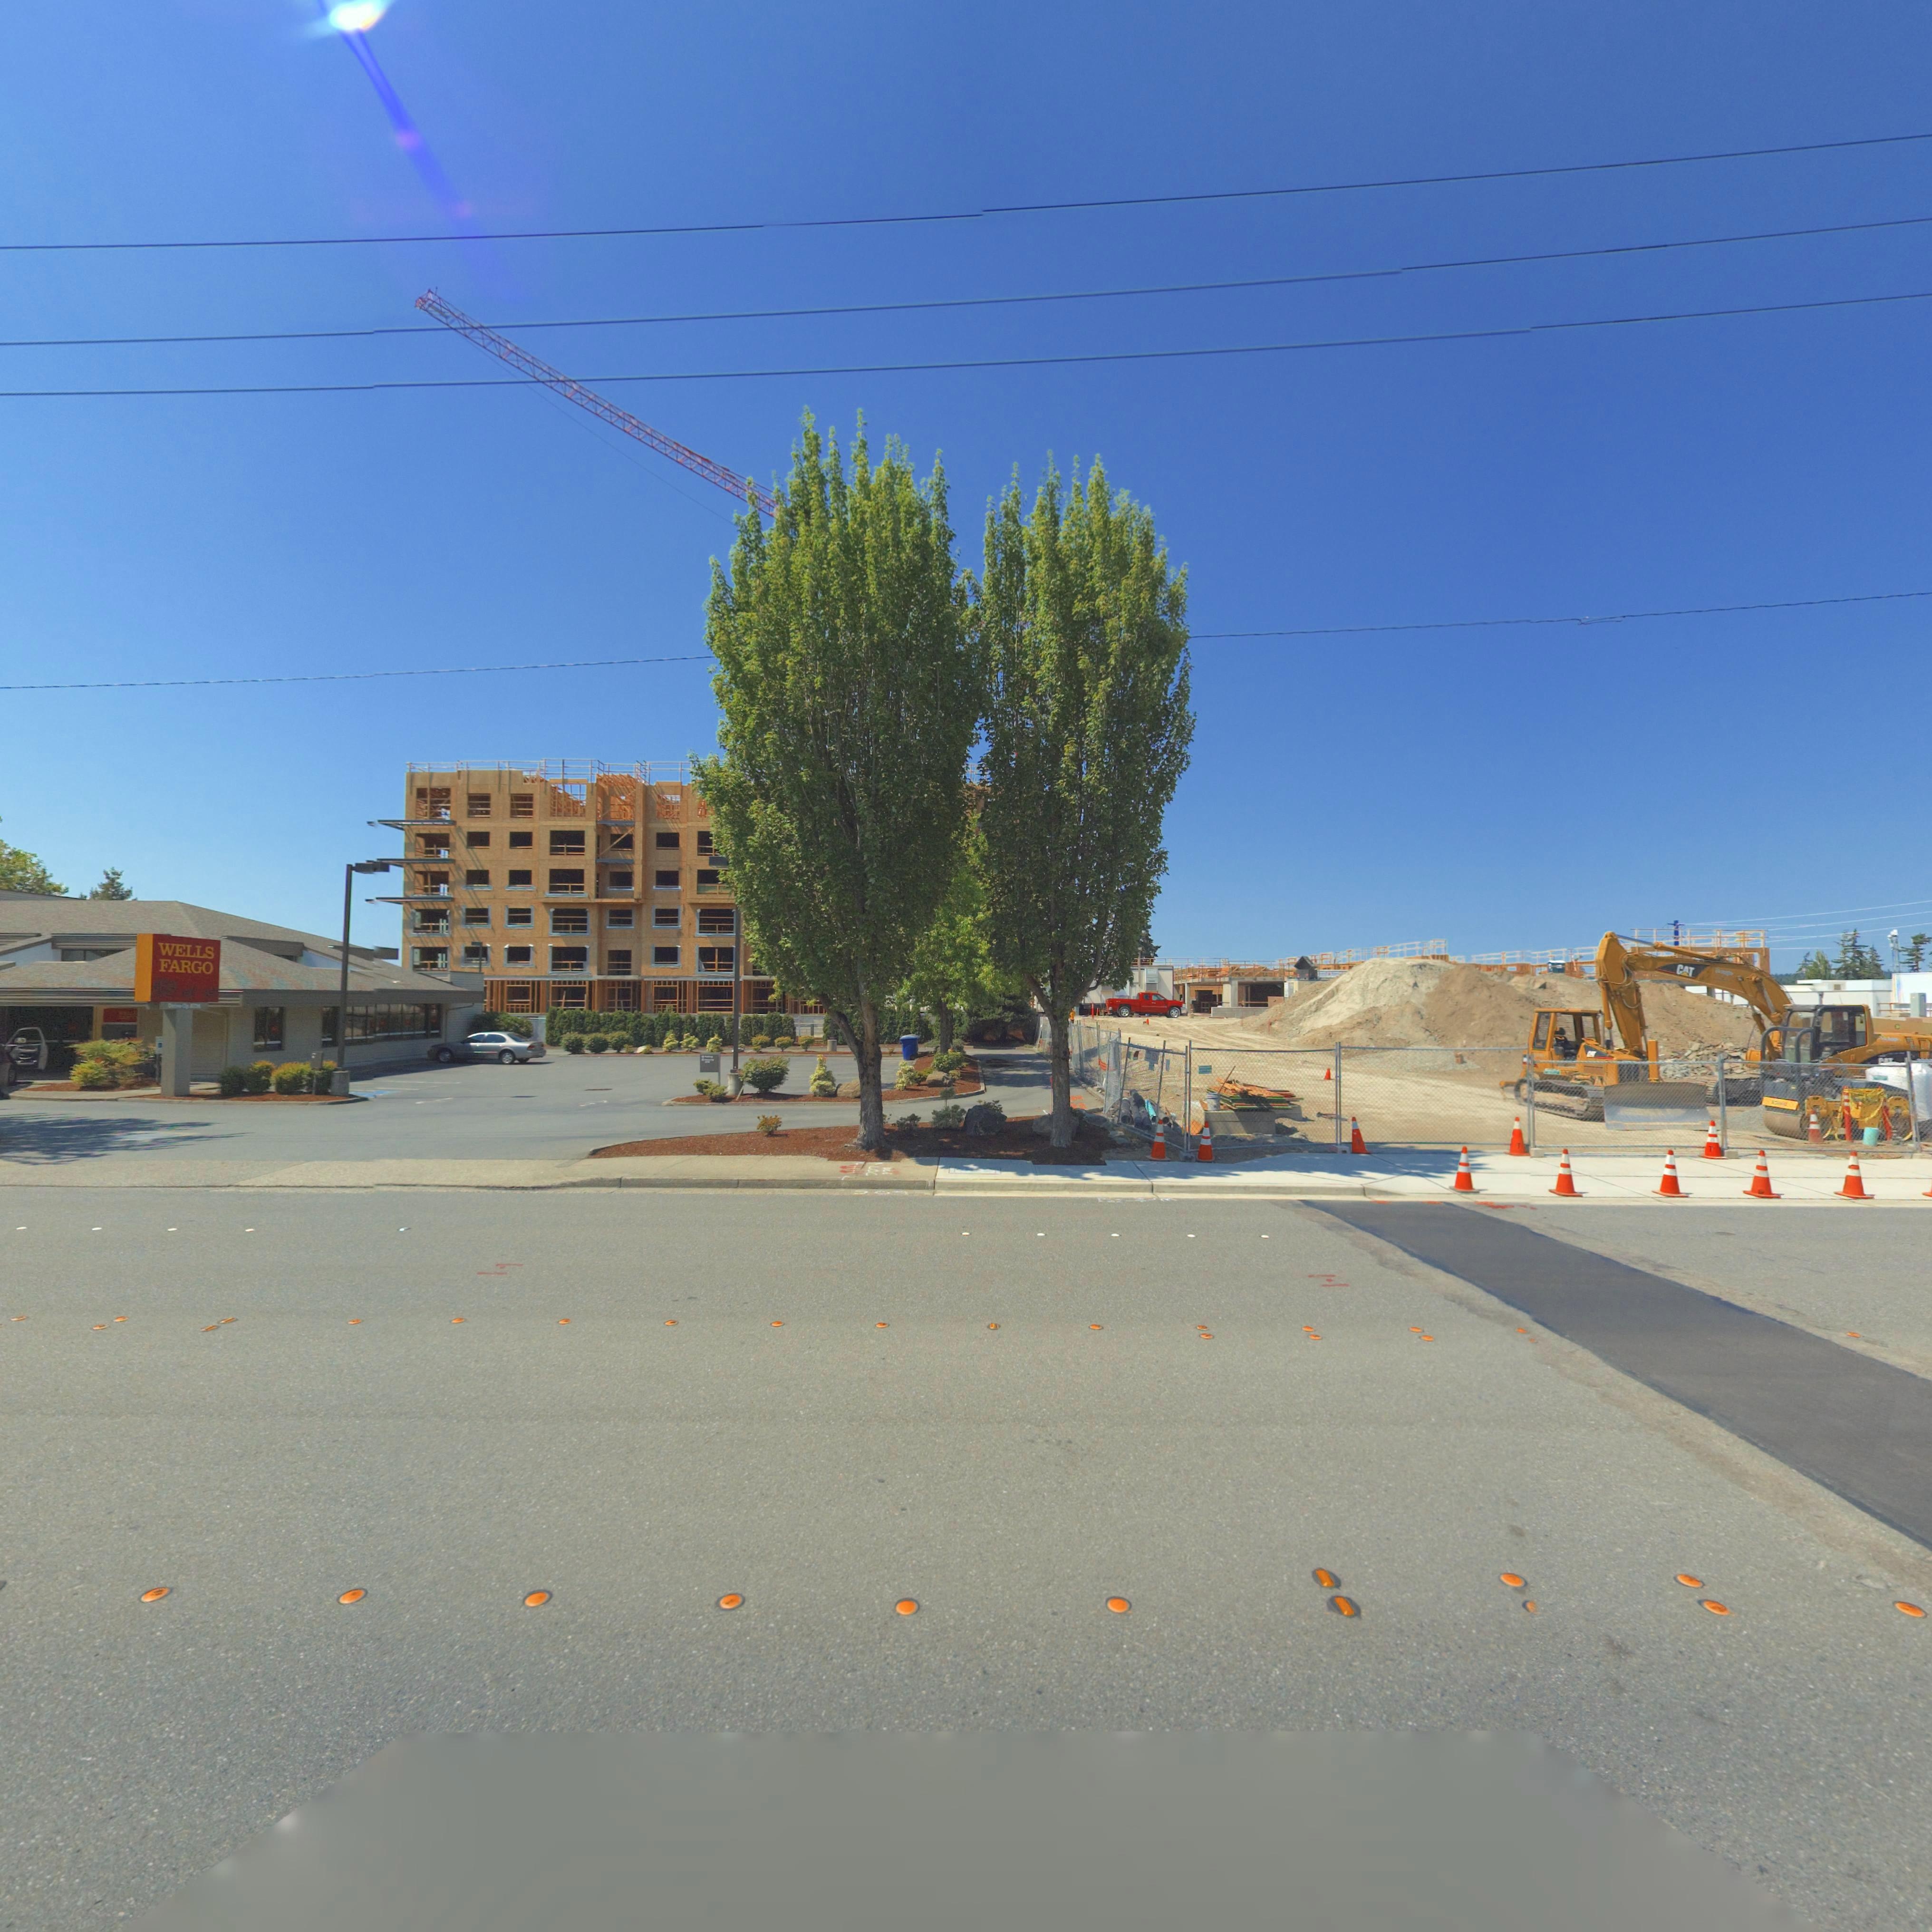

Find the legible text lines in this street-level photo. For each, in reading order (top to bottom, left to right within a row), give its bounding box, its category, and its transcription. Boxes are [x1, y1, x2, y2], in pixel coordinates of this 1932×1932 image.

[158, 943, 214, 958] BusinessName: WELLS
[159, 958, 214, 975] BusinessName: FARGO